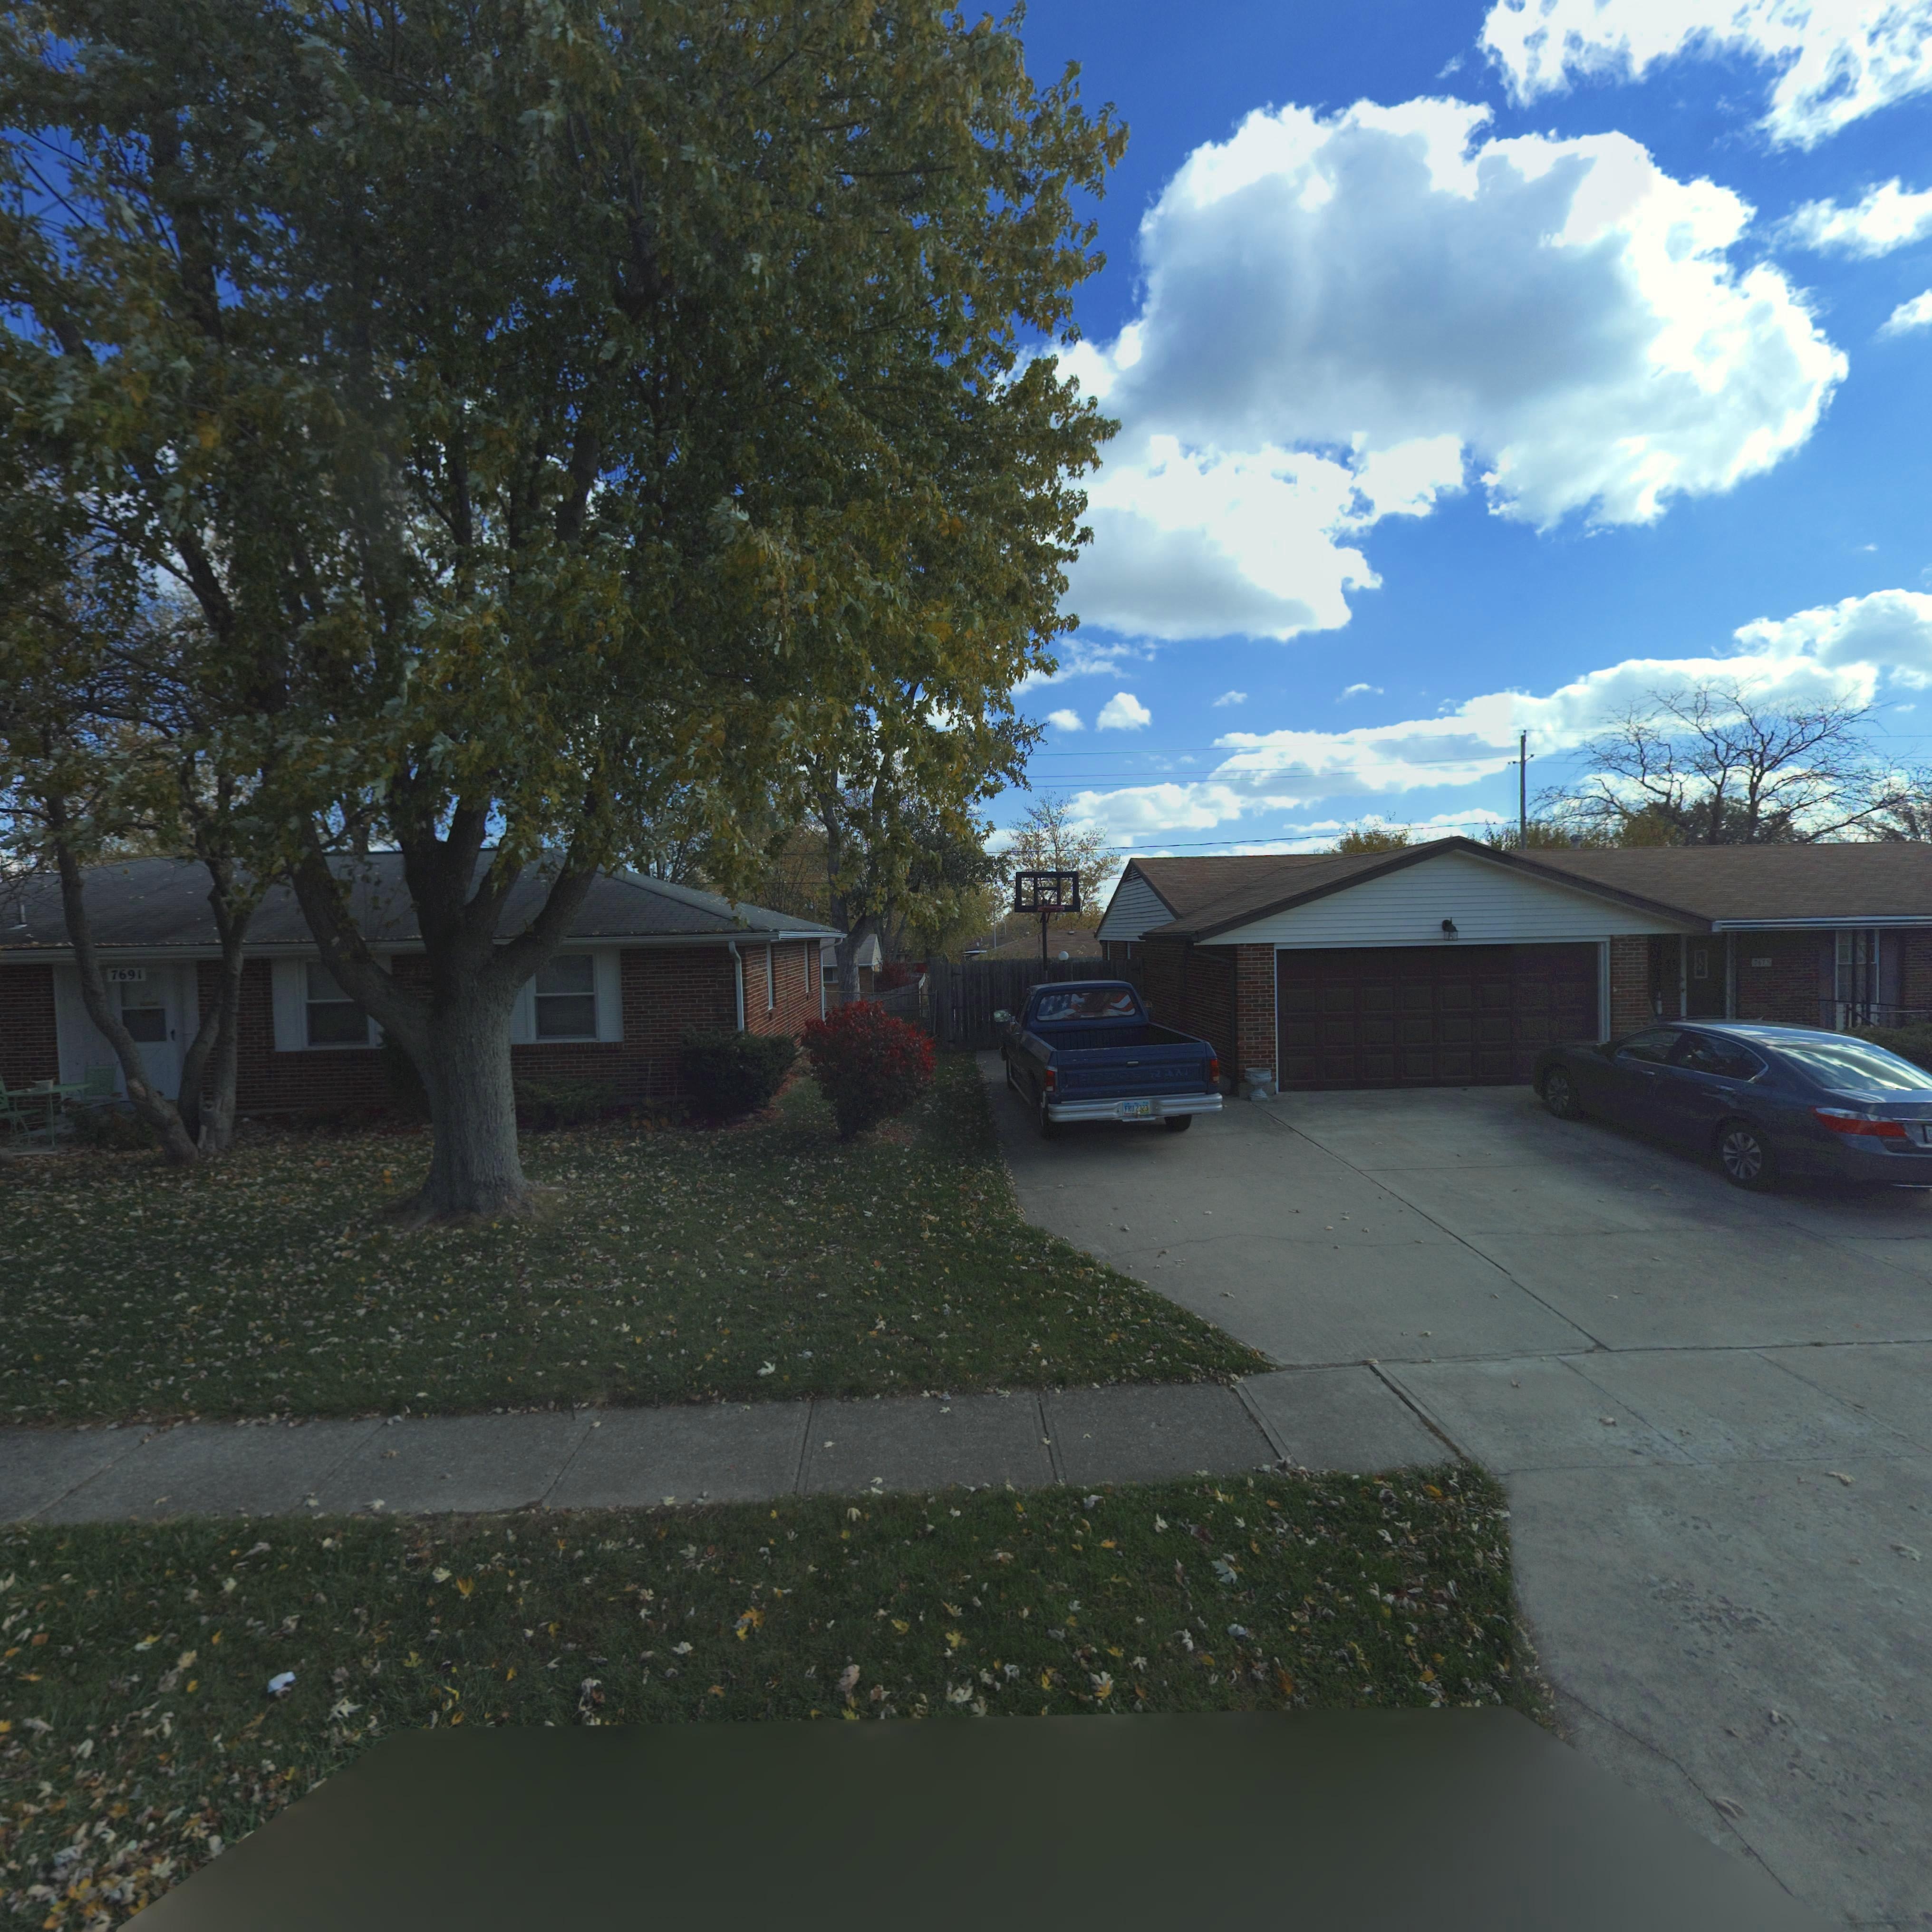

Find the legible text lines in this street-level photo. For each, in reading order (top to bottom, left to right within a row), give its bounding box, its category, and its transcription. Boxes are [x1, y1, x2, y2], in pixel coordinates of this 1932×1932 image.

[1753, 958, 1772, 966] StreetNumber: 767*
[110, 969, 142, 981] StreetNumber: 7691